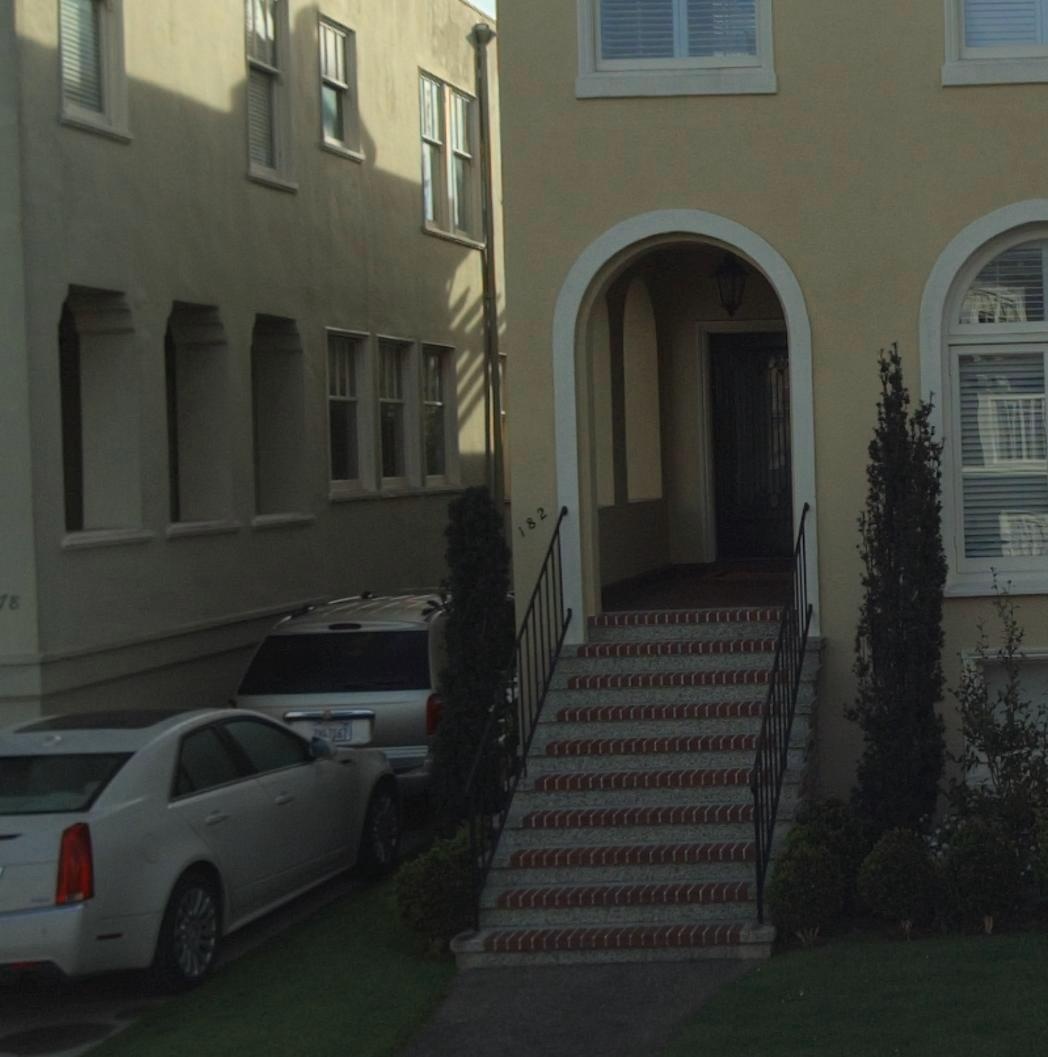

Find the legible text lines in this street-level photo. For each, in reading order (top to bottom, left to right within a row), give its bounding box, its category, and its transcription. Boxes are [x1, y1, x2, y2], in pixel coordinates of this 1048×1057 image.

[513, 501, 551, 542] StreetNumber: 182